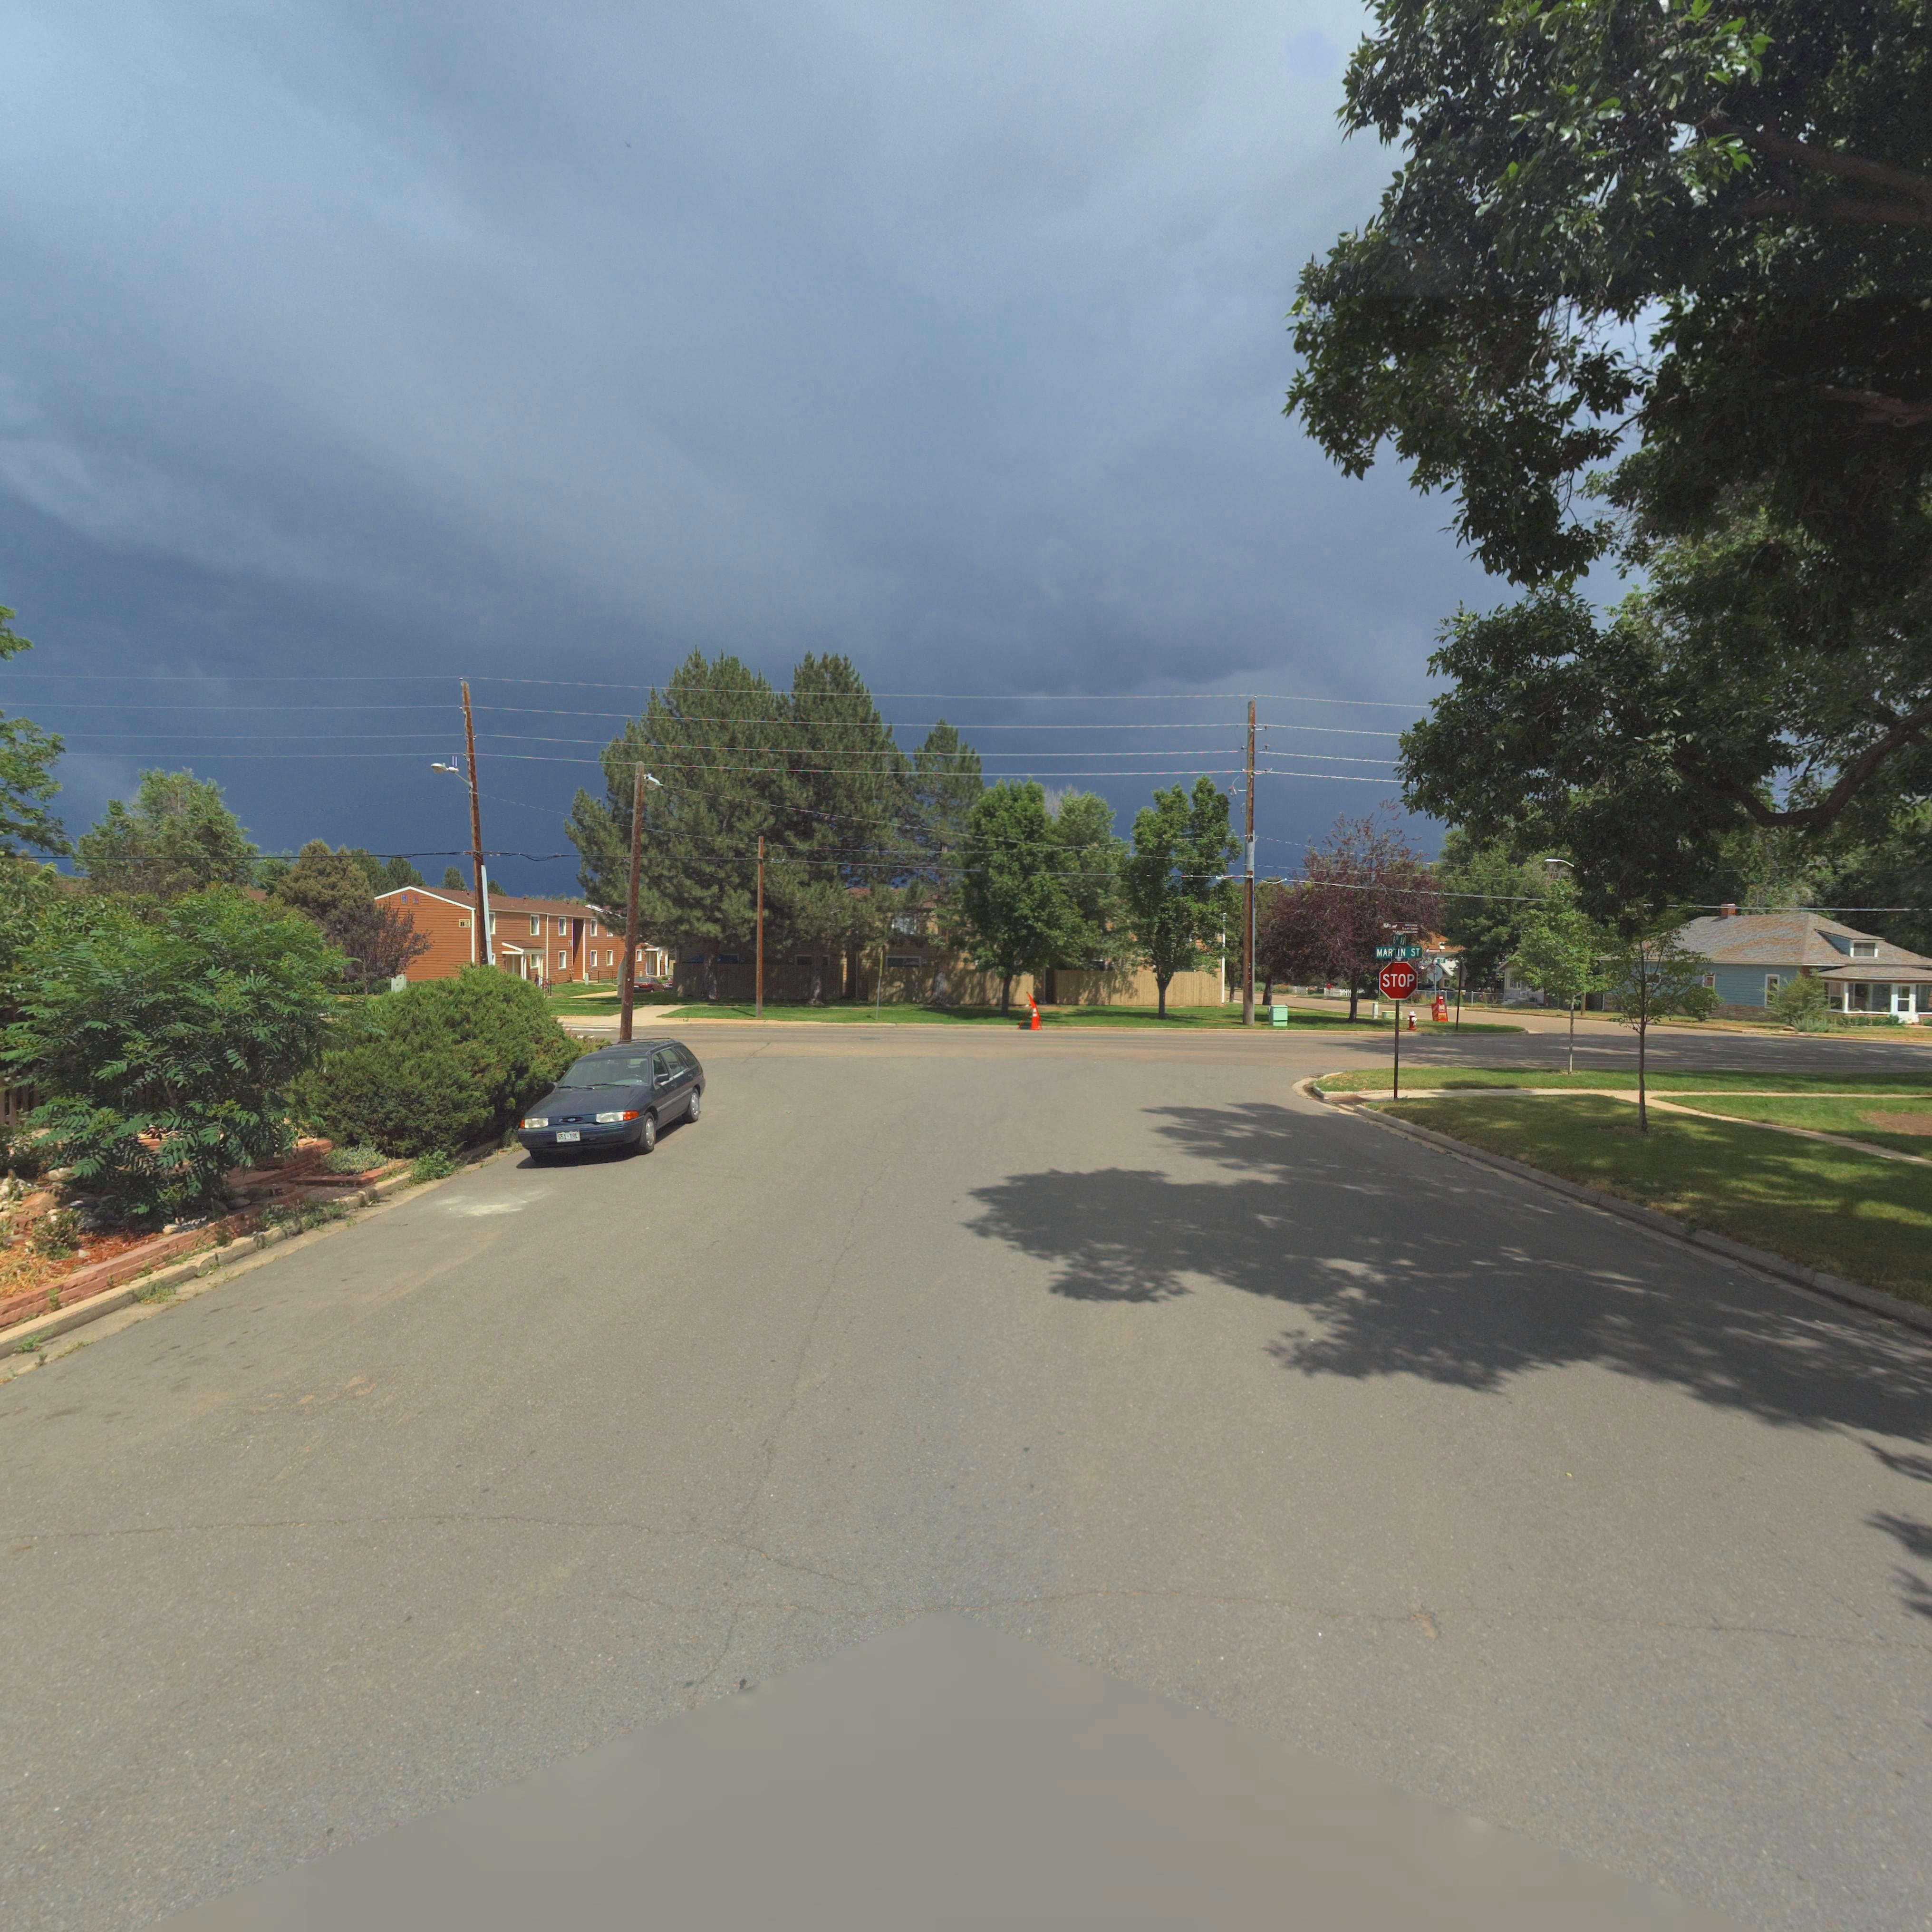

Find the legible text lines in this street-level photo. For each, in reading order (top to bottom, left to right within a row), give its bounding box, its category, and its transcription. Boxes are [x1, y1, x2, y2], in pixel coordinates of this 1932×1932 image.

[1393, 935, 1405, 945] StreetName: 6TH AV
[1377, 947, 1420, 957] StreetName: MAR*IN ST
[1434, 958, 1444, 963] StreetName: *N ST